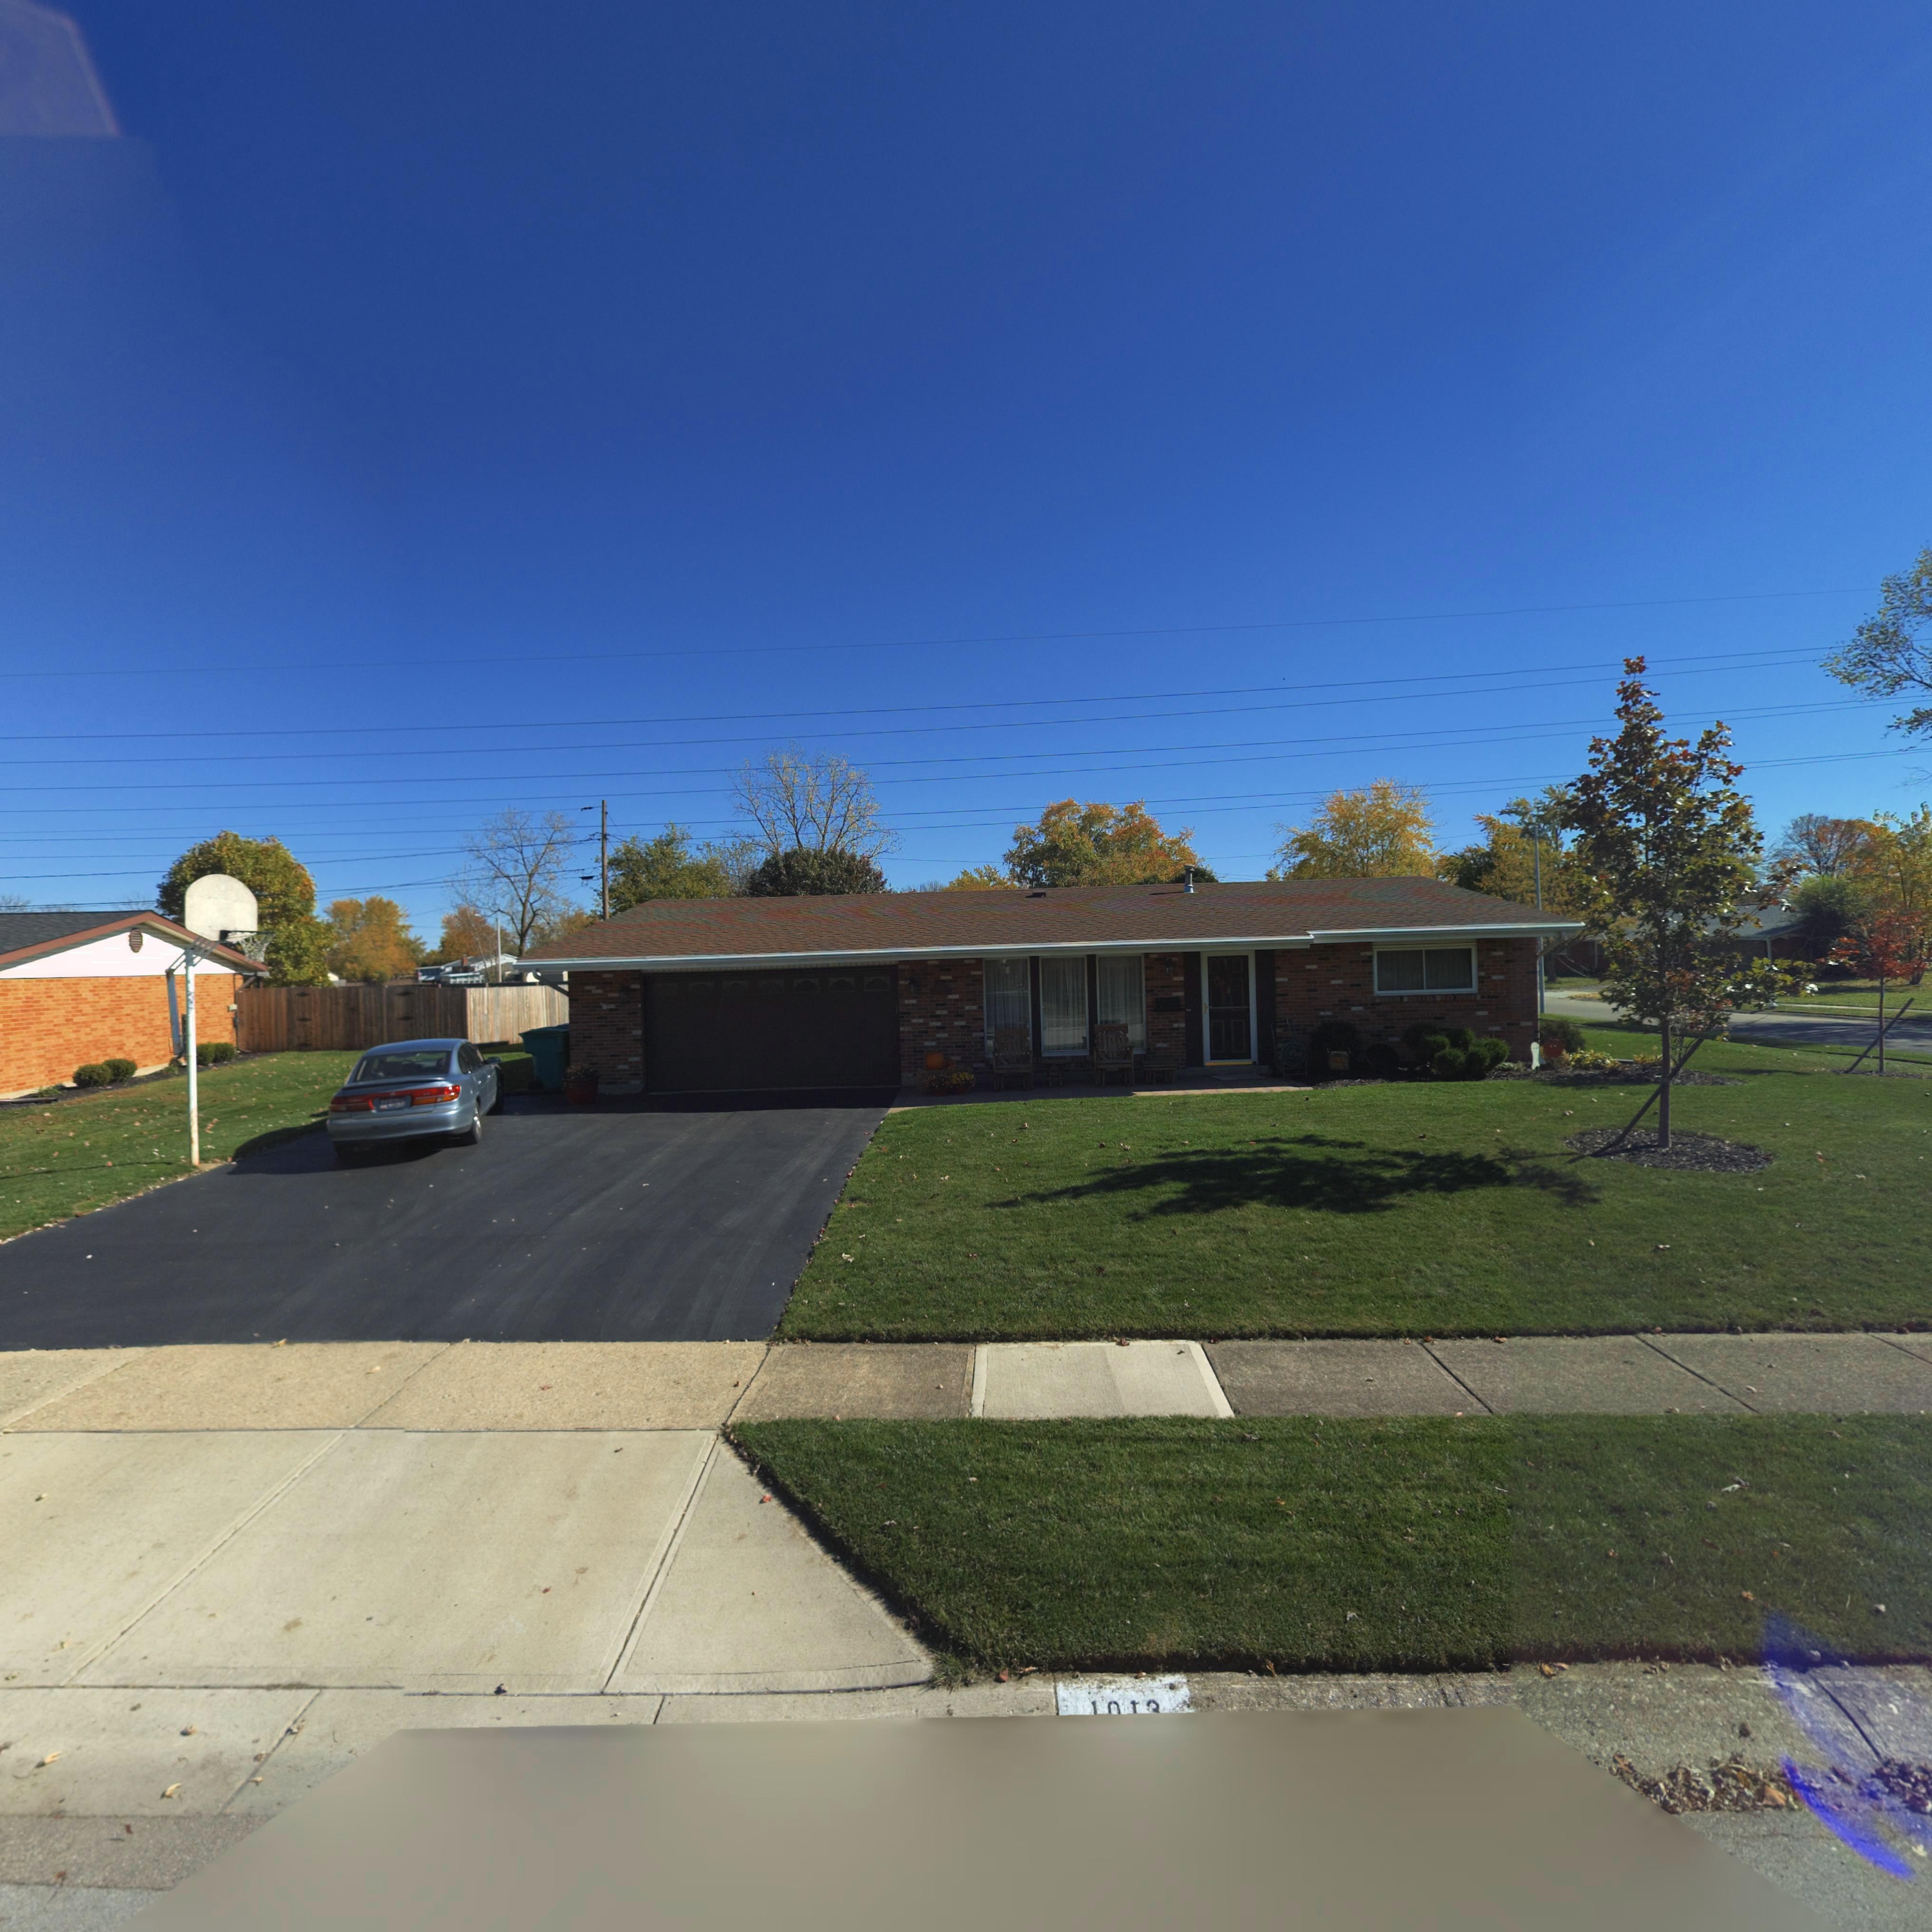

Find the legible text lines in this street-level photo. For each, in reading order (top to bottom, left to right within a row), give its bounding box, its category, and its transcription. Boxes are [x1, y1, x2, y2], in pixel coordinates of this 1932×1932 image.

[936, 985, 946, 990] StreetNumber: 1013
[1090, 1698, 1160, 1714] StreetNumber: 1*1*